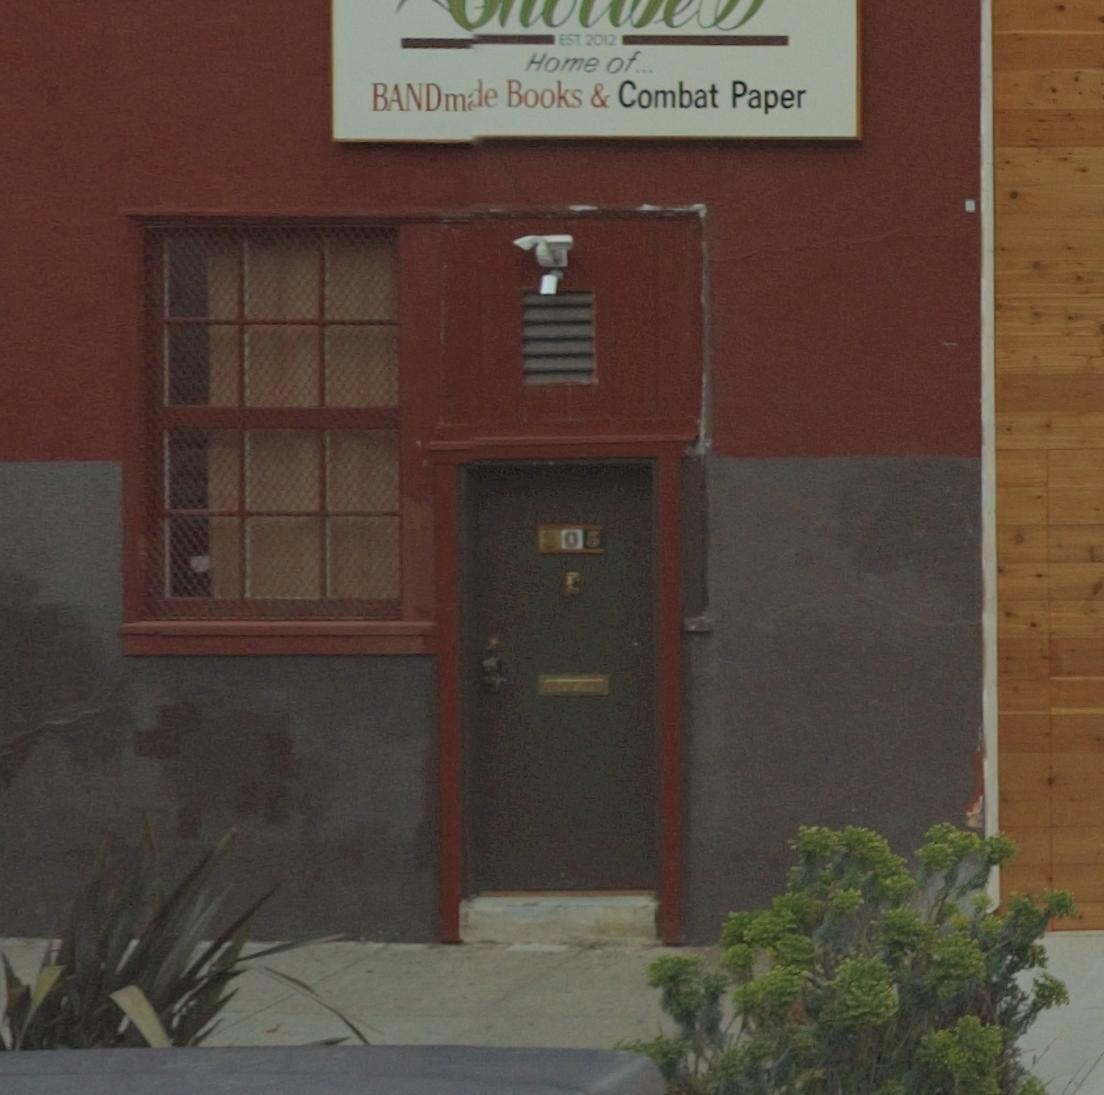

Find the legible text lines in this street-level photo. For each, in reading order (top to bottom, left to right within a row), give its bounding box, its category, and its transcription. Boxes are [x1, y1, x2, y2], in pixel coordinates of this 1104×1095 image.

[557, 33, 618, 47] None: EST. 2012
[522, 49, 656, 74] None: Home of...
[370, 77, 808, 116] BusinessName: BANDm*e Books & Combat Paper
[541, 528, 603, 550] StreetNumber: 305